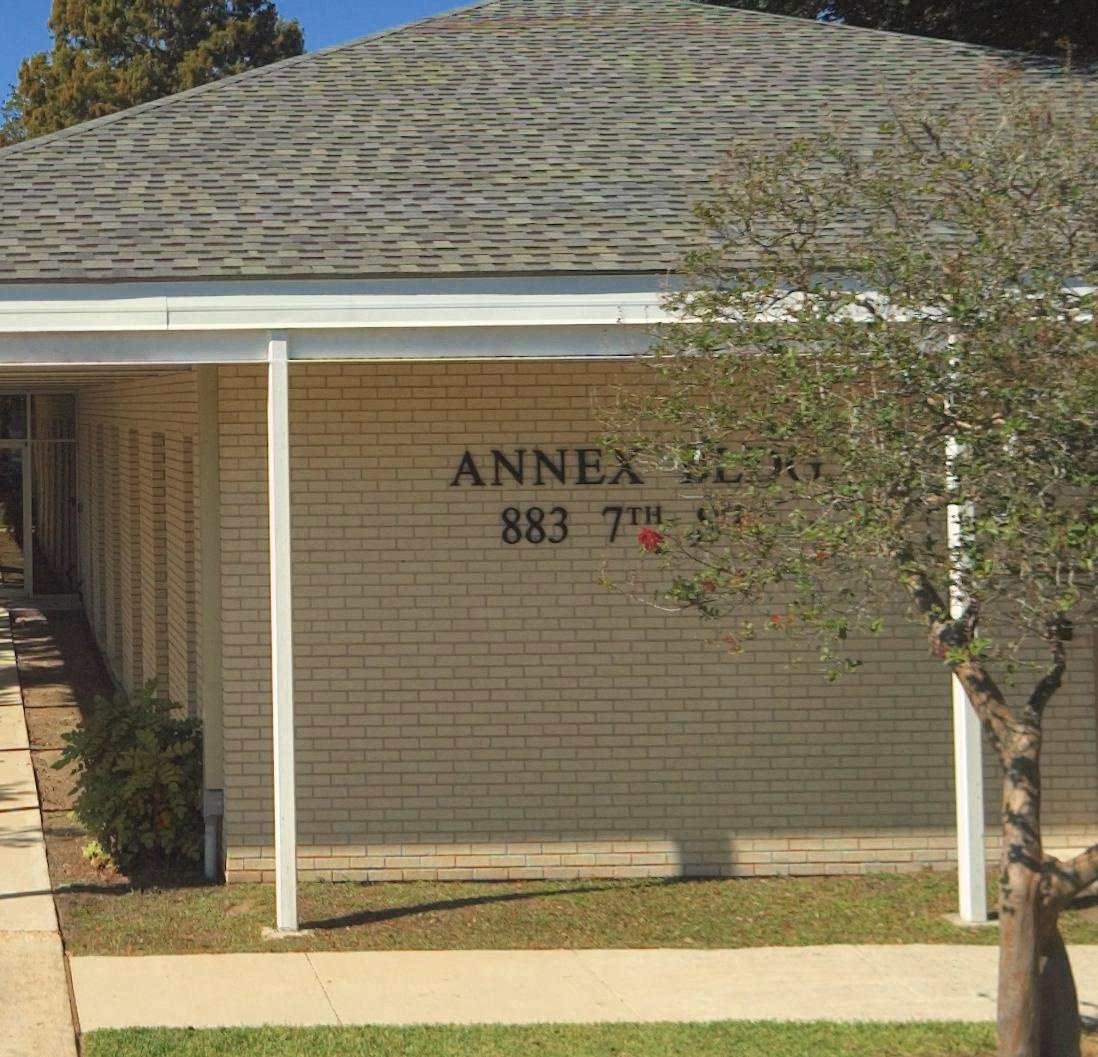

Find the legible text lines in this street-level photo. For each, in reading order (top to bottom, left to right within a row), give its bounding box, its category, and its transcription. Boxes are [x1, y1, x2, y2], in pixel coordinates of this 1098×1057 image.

[447, 446, 647, 489] None: ANNE*
[500, 506, 569, 544] StreetNumber: 883
[600, 505, 664, 545] StreetName: 7TH